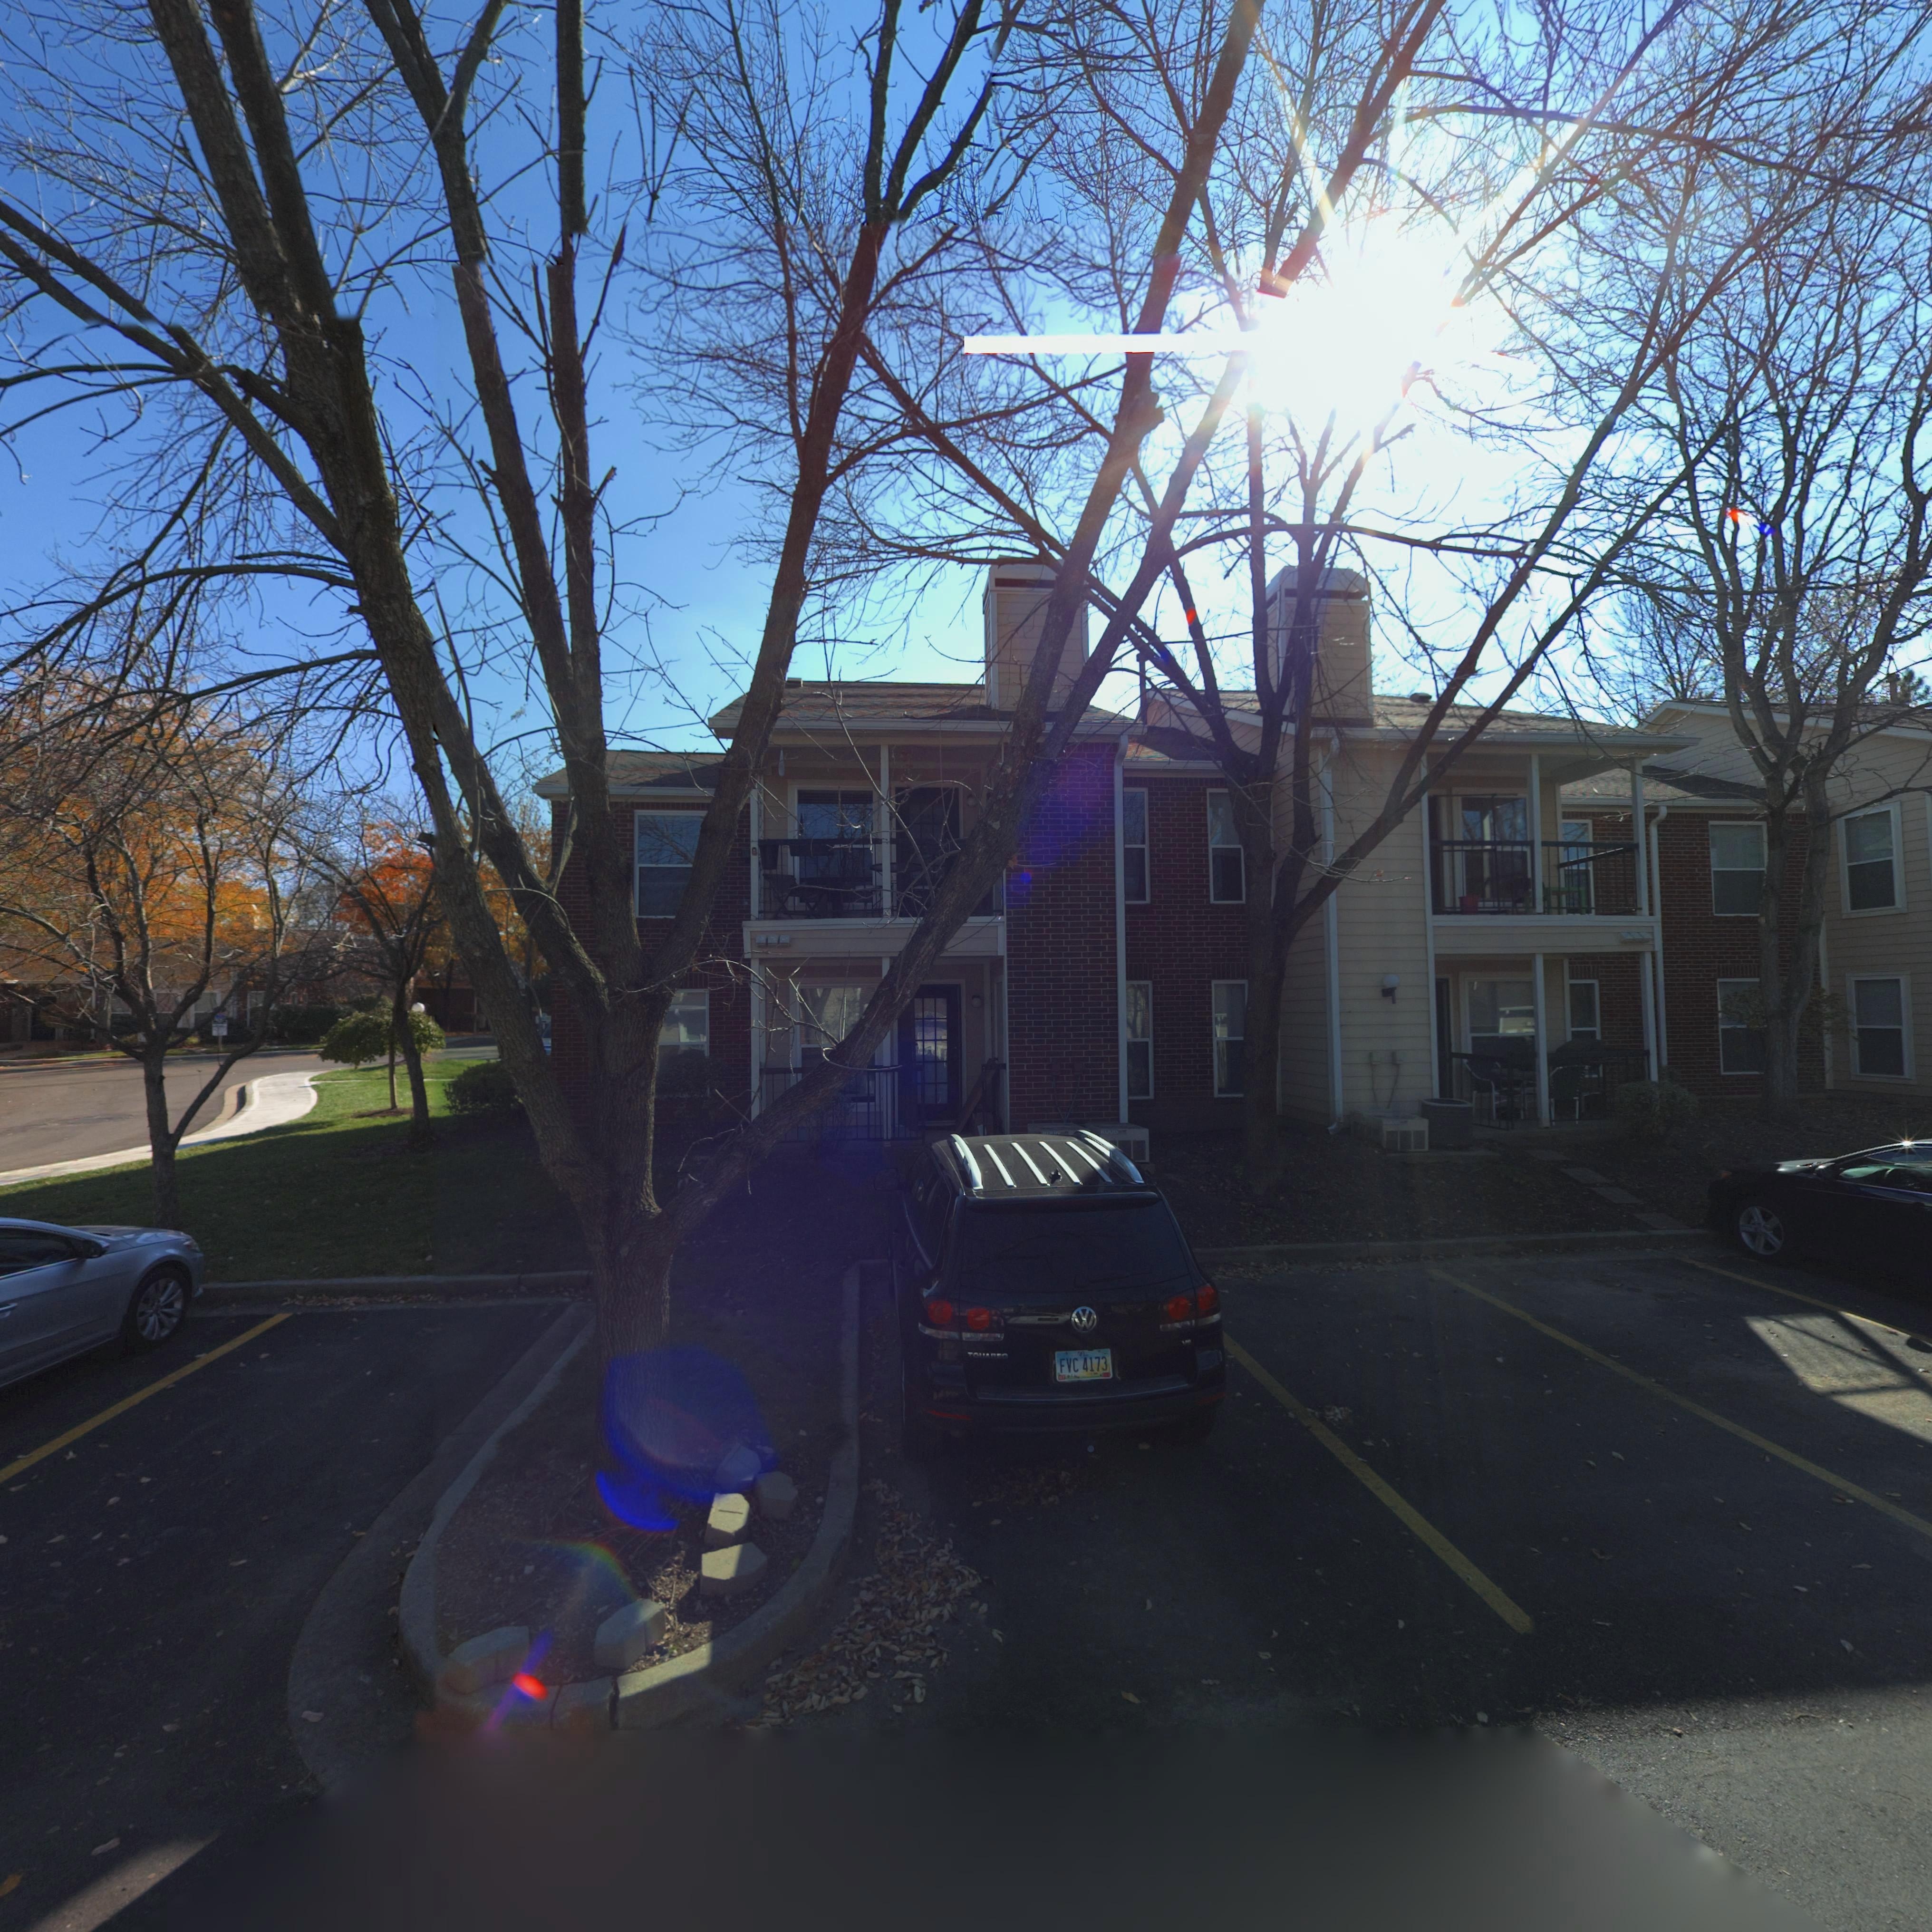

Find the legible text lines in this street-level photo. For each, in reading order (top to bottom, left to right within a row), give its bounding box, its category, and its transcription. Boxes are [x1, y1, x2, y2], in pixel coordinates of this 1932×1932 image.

[1059, 1354, 1109, 1375] None: FVC 4173